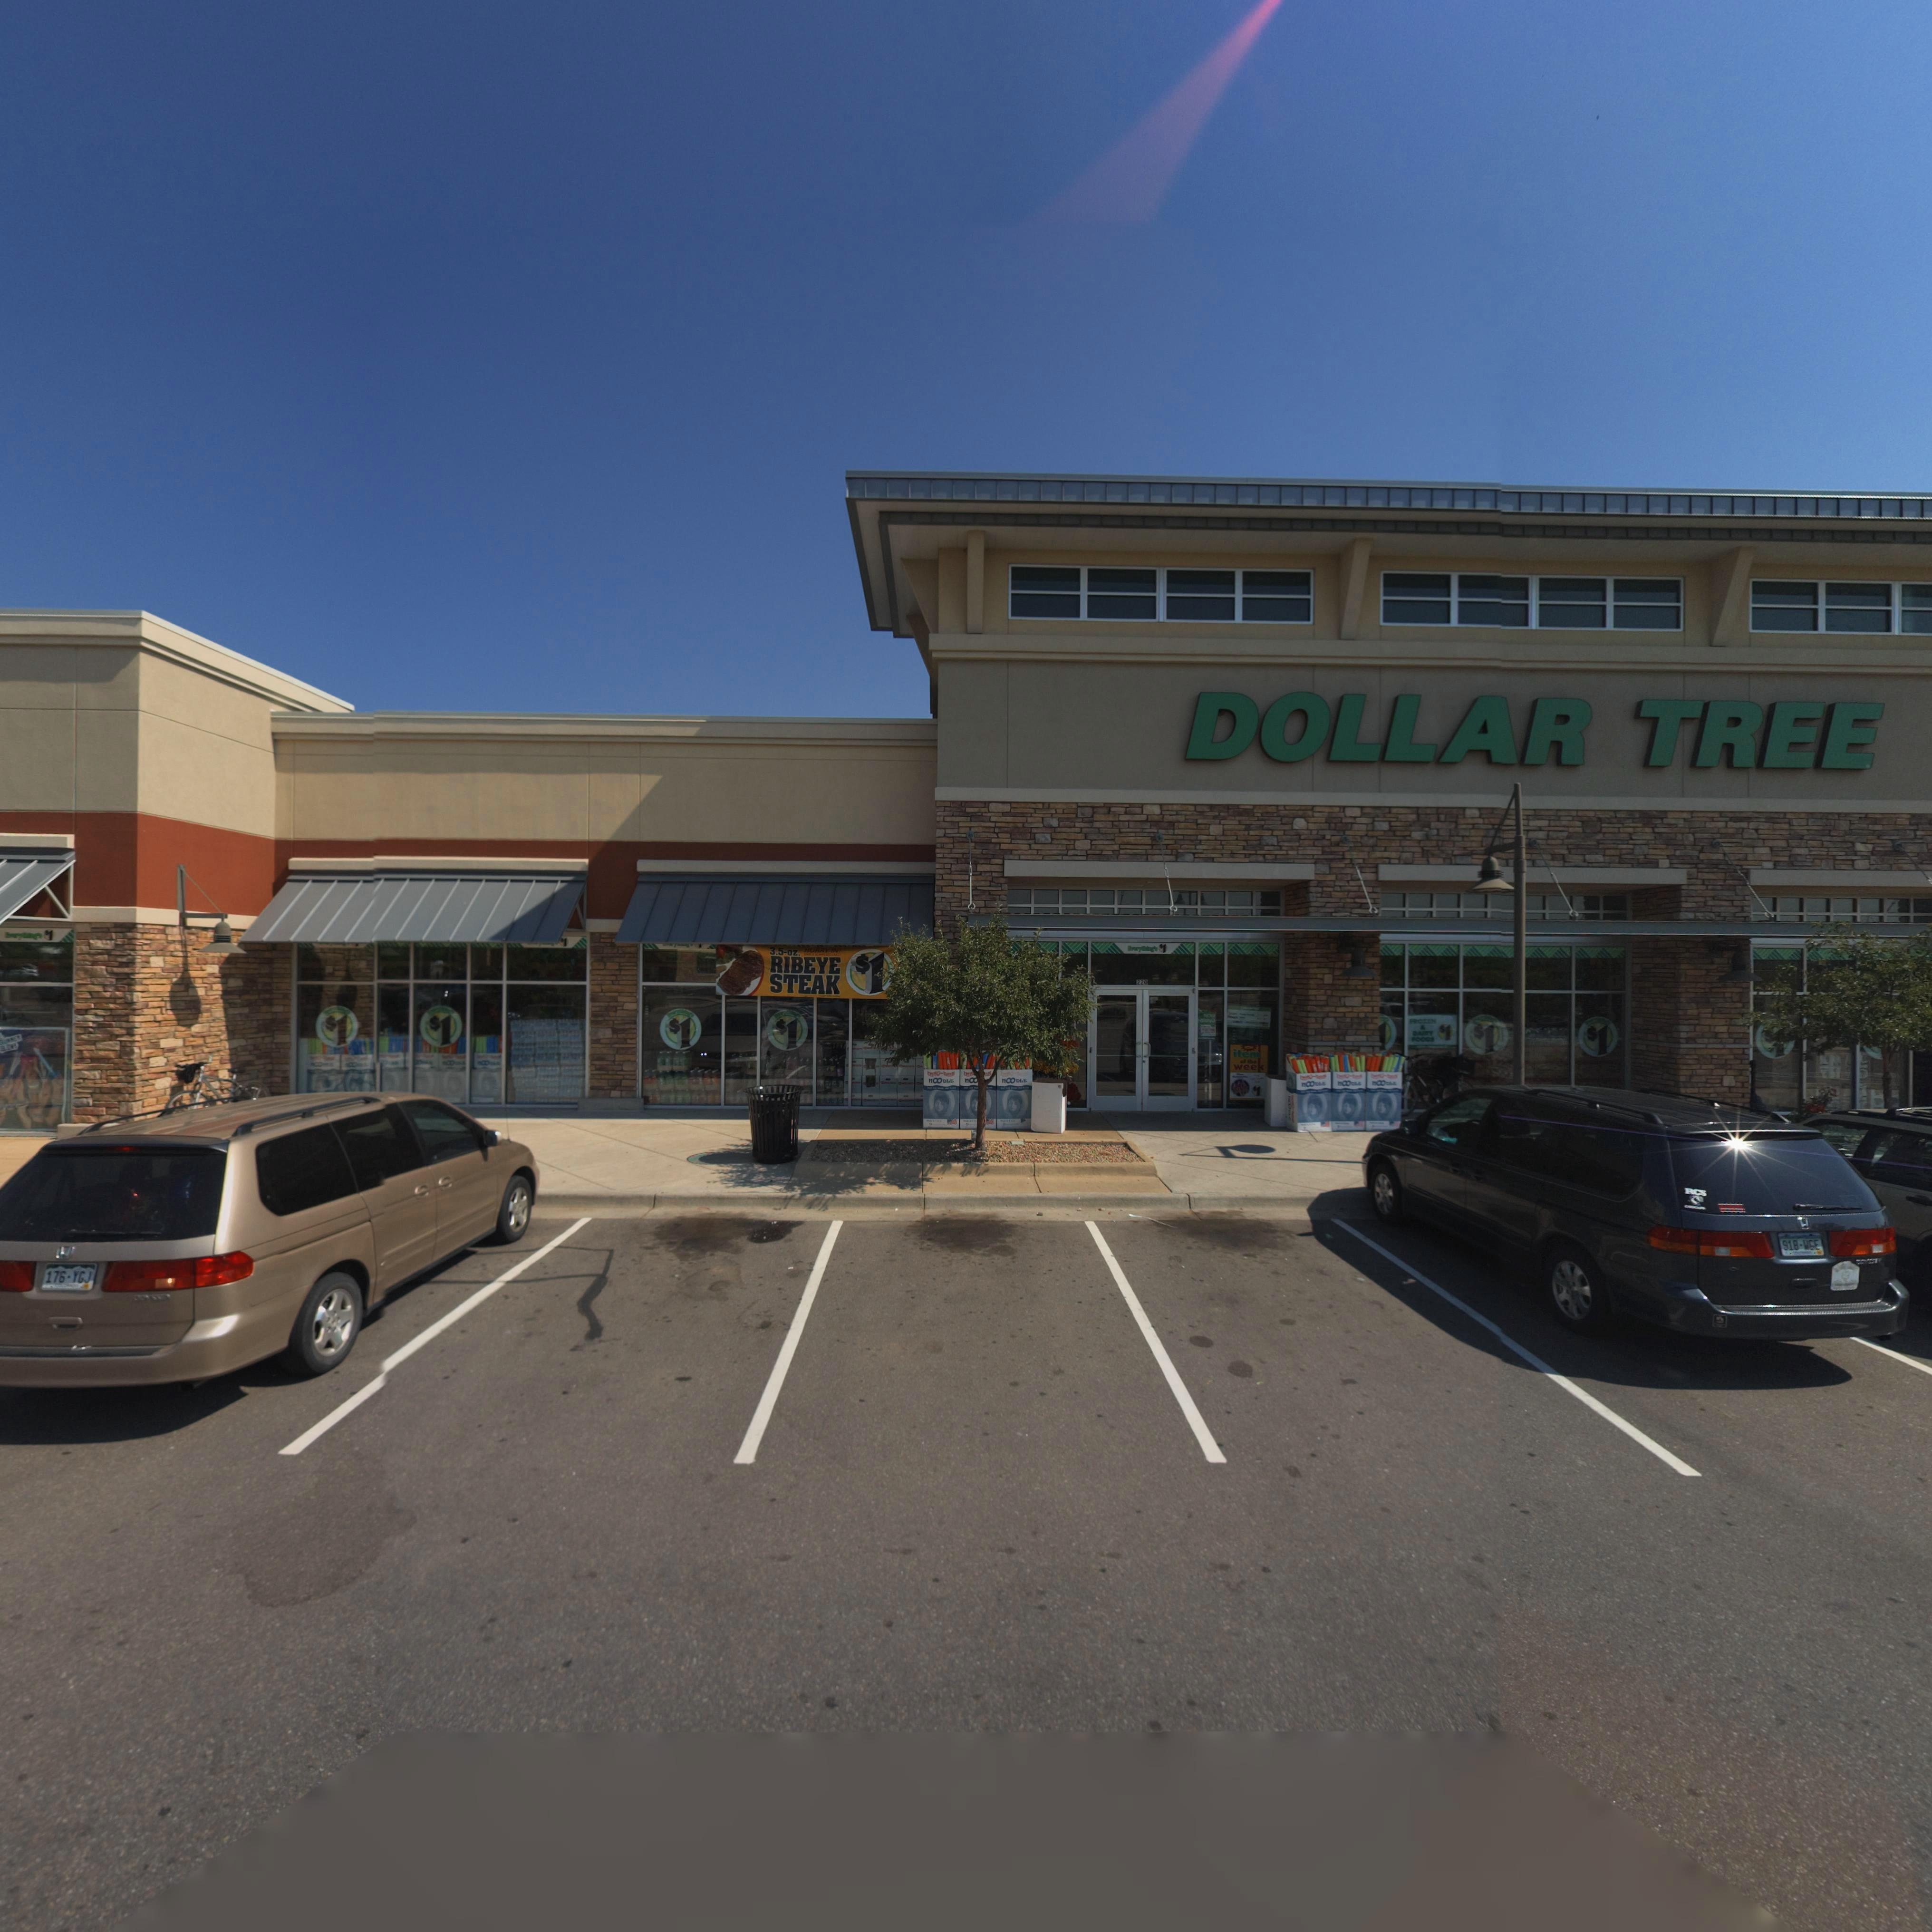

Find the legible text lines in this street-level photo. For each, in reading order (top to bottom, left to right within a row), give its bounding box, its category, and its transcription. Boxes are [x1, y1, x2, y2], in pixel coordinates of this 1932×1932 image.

[1183, 690, 1887, 771] BusinessName: DOLLAR TREE
[1136, 980, 1148, 985] StreetNumber: 220